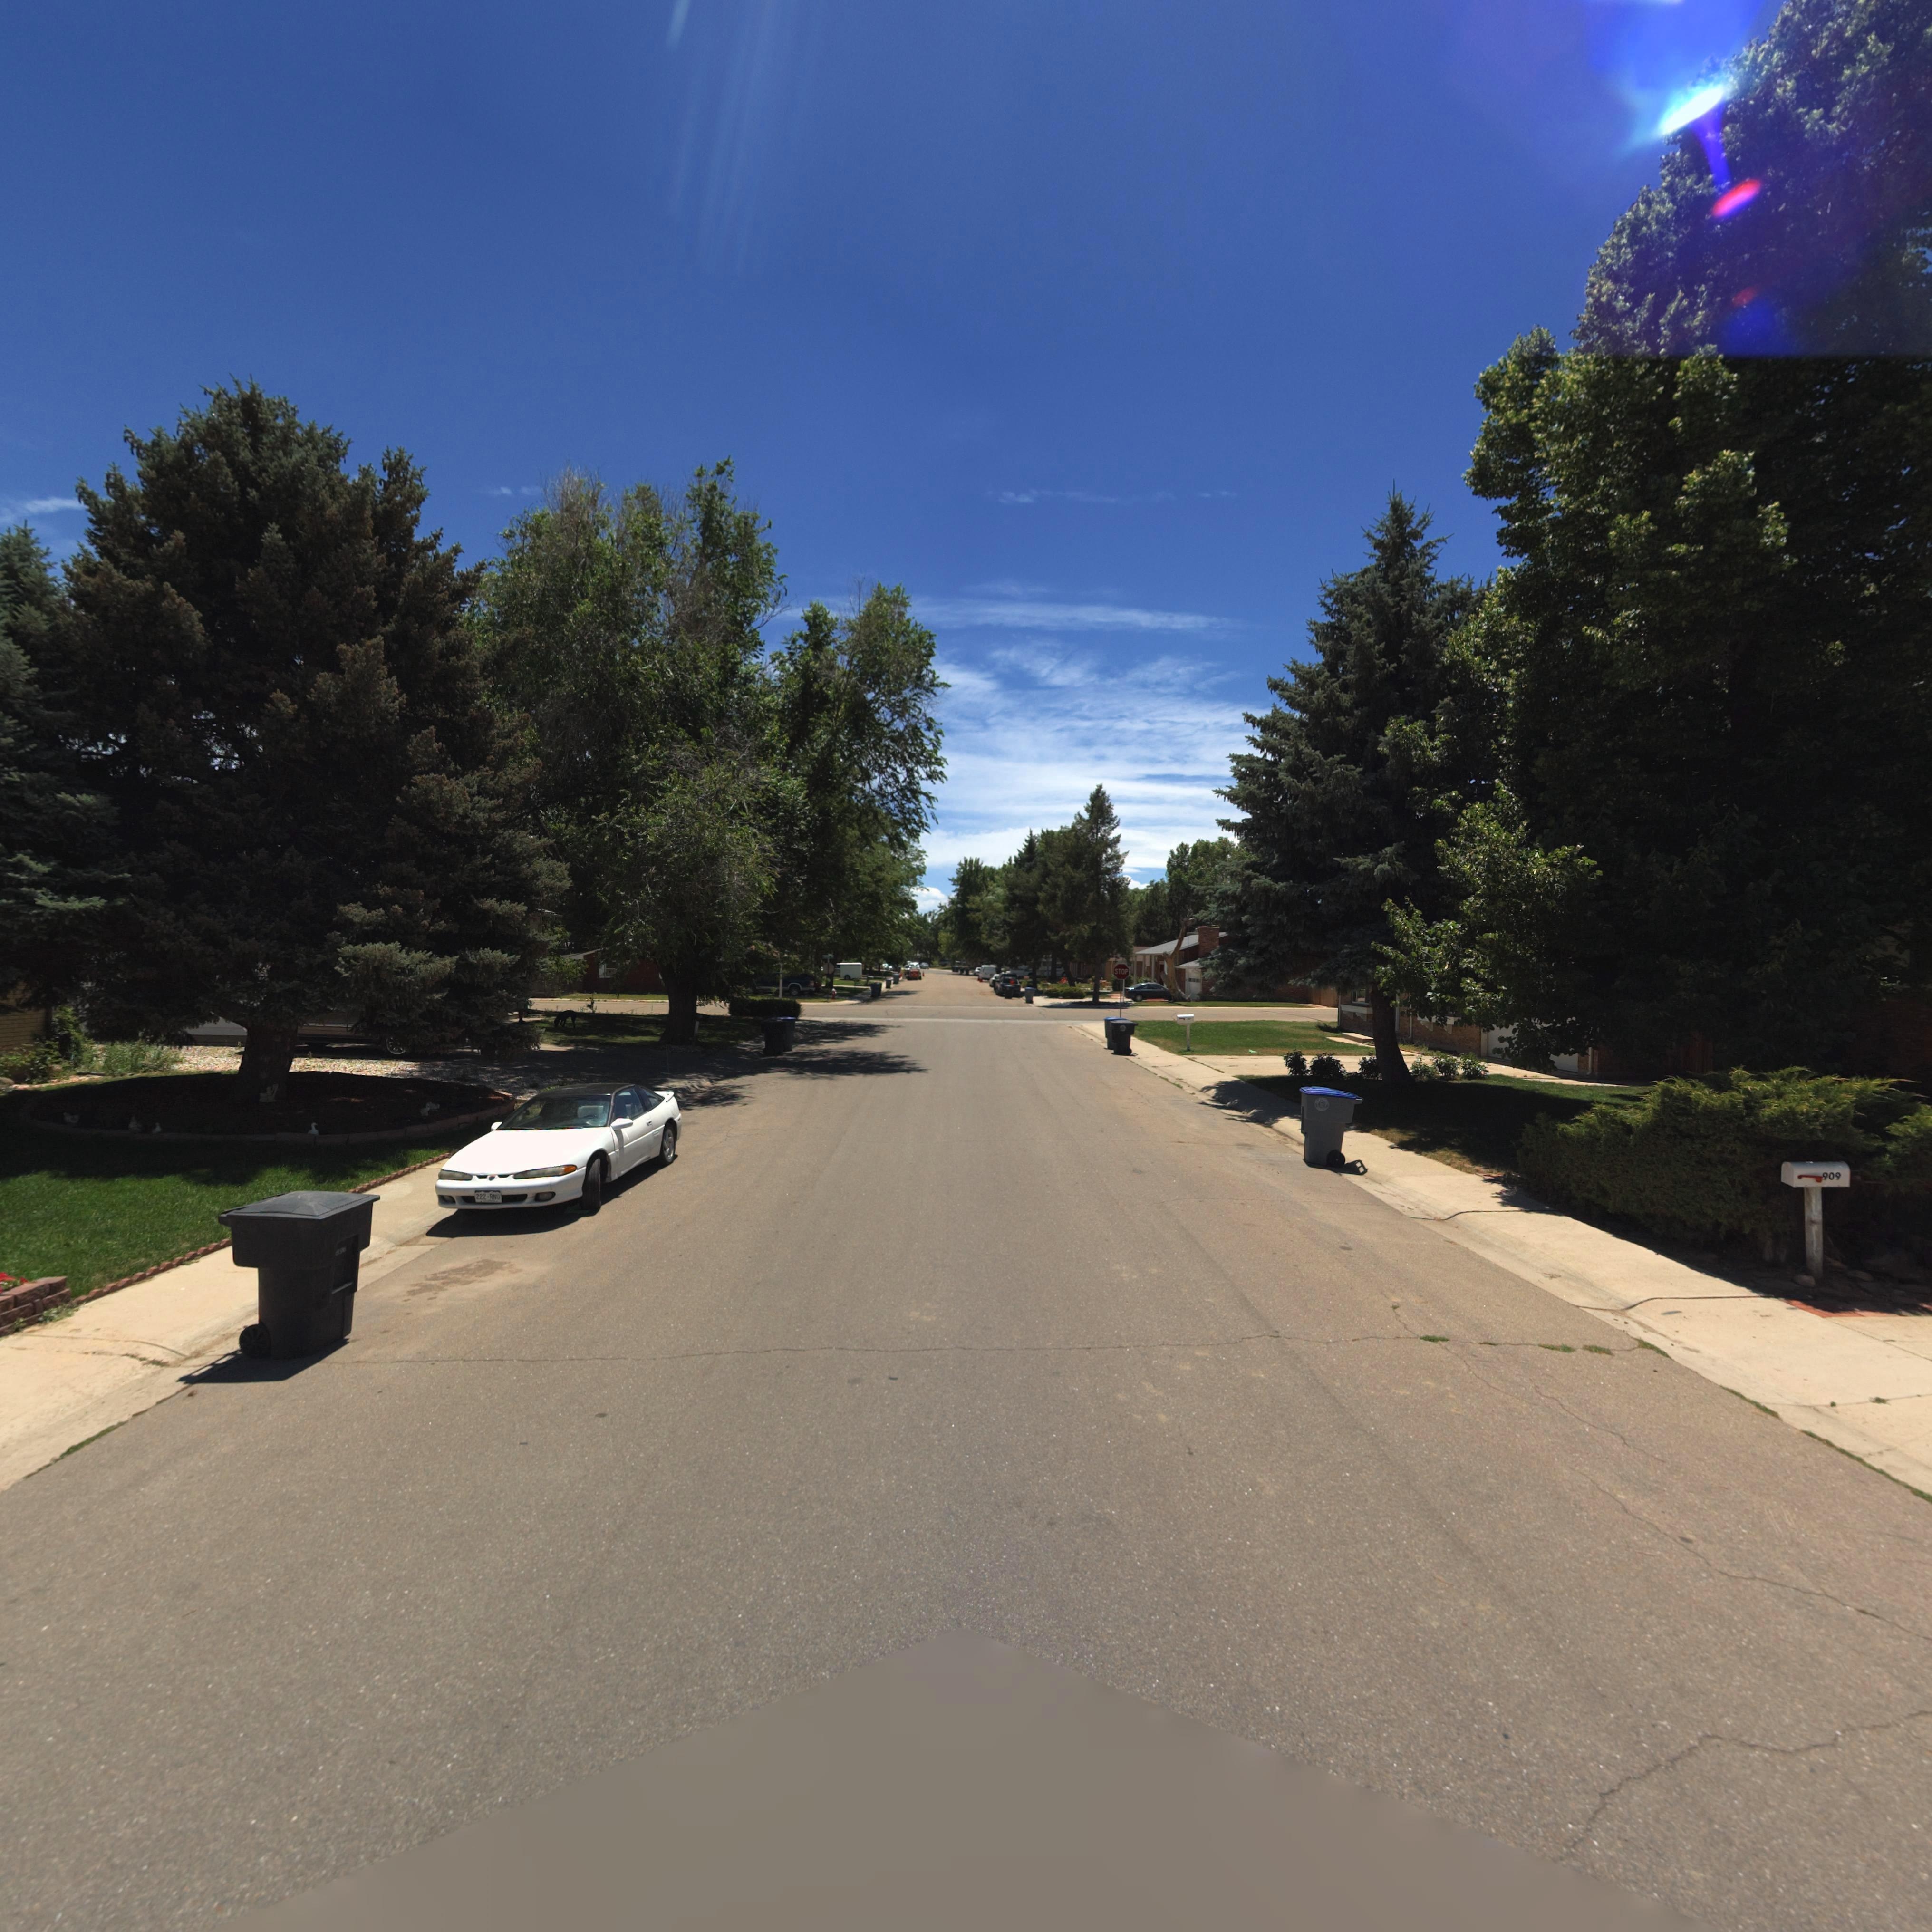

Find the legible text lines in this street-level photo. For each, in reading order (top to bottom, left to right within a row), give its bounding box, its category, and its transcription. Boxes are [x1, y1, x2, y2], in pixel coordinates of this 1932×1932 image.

[1822, 1170, 1842, 1181] StreetNumber: 909